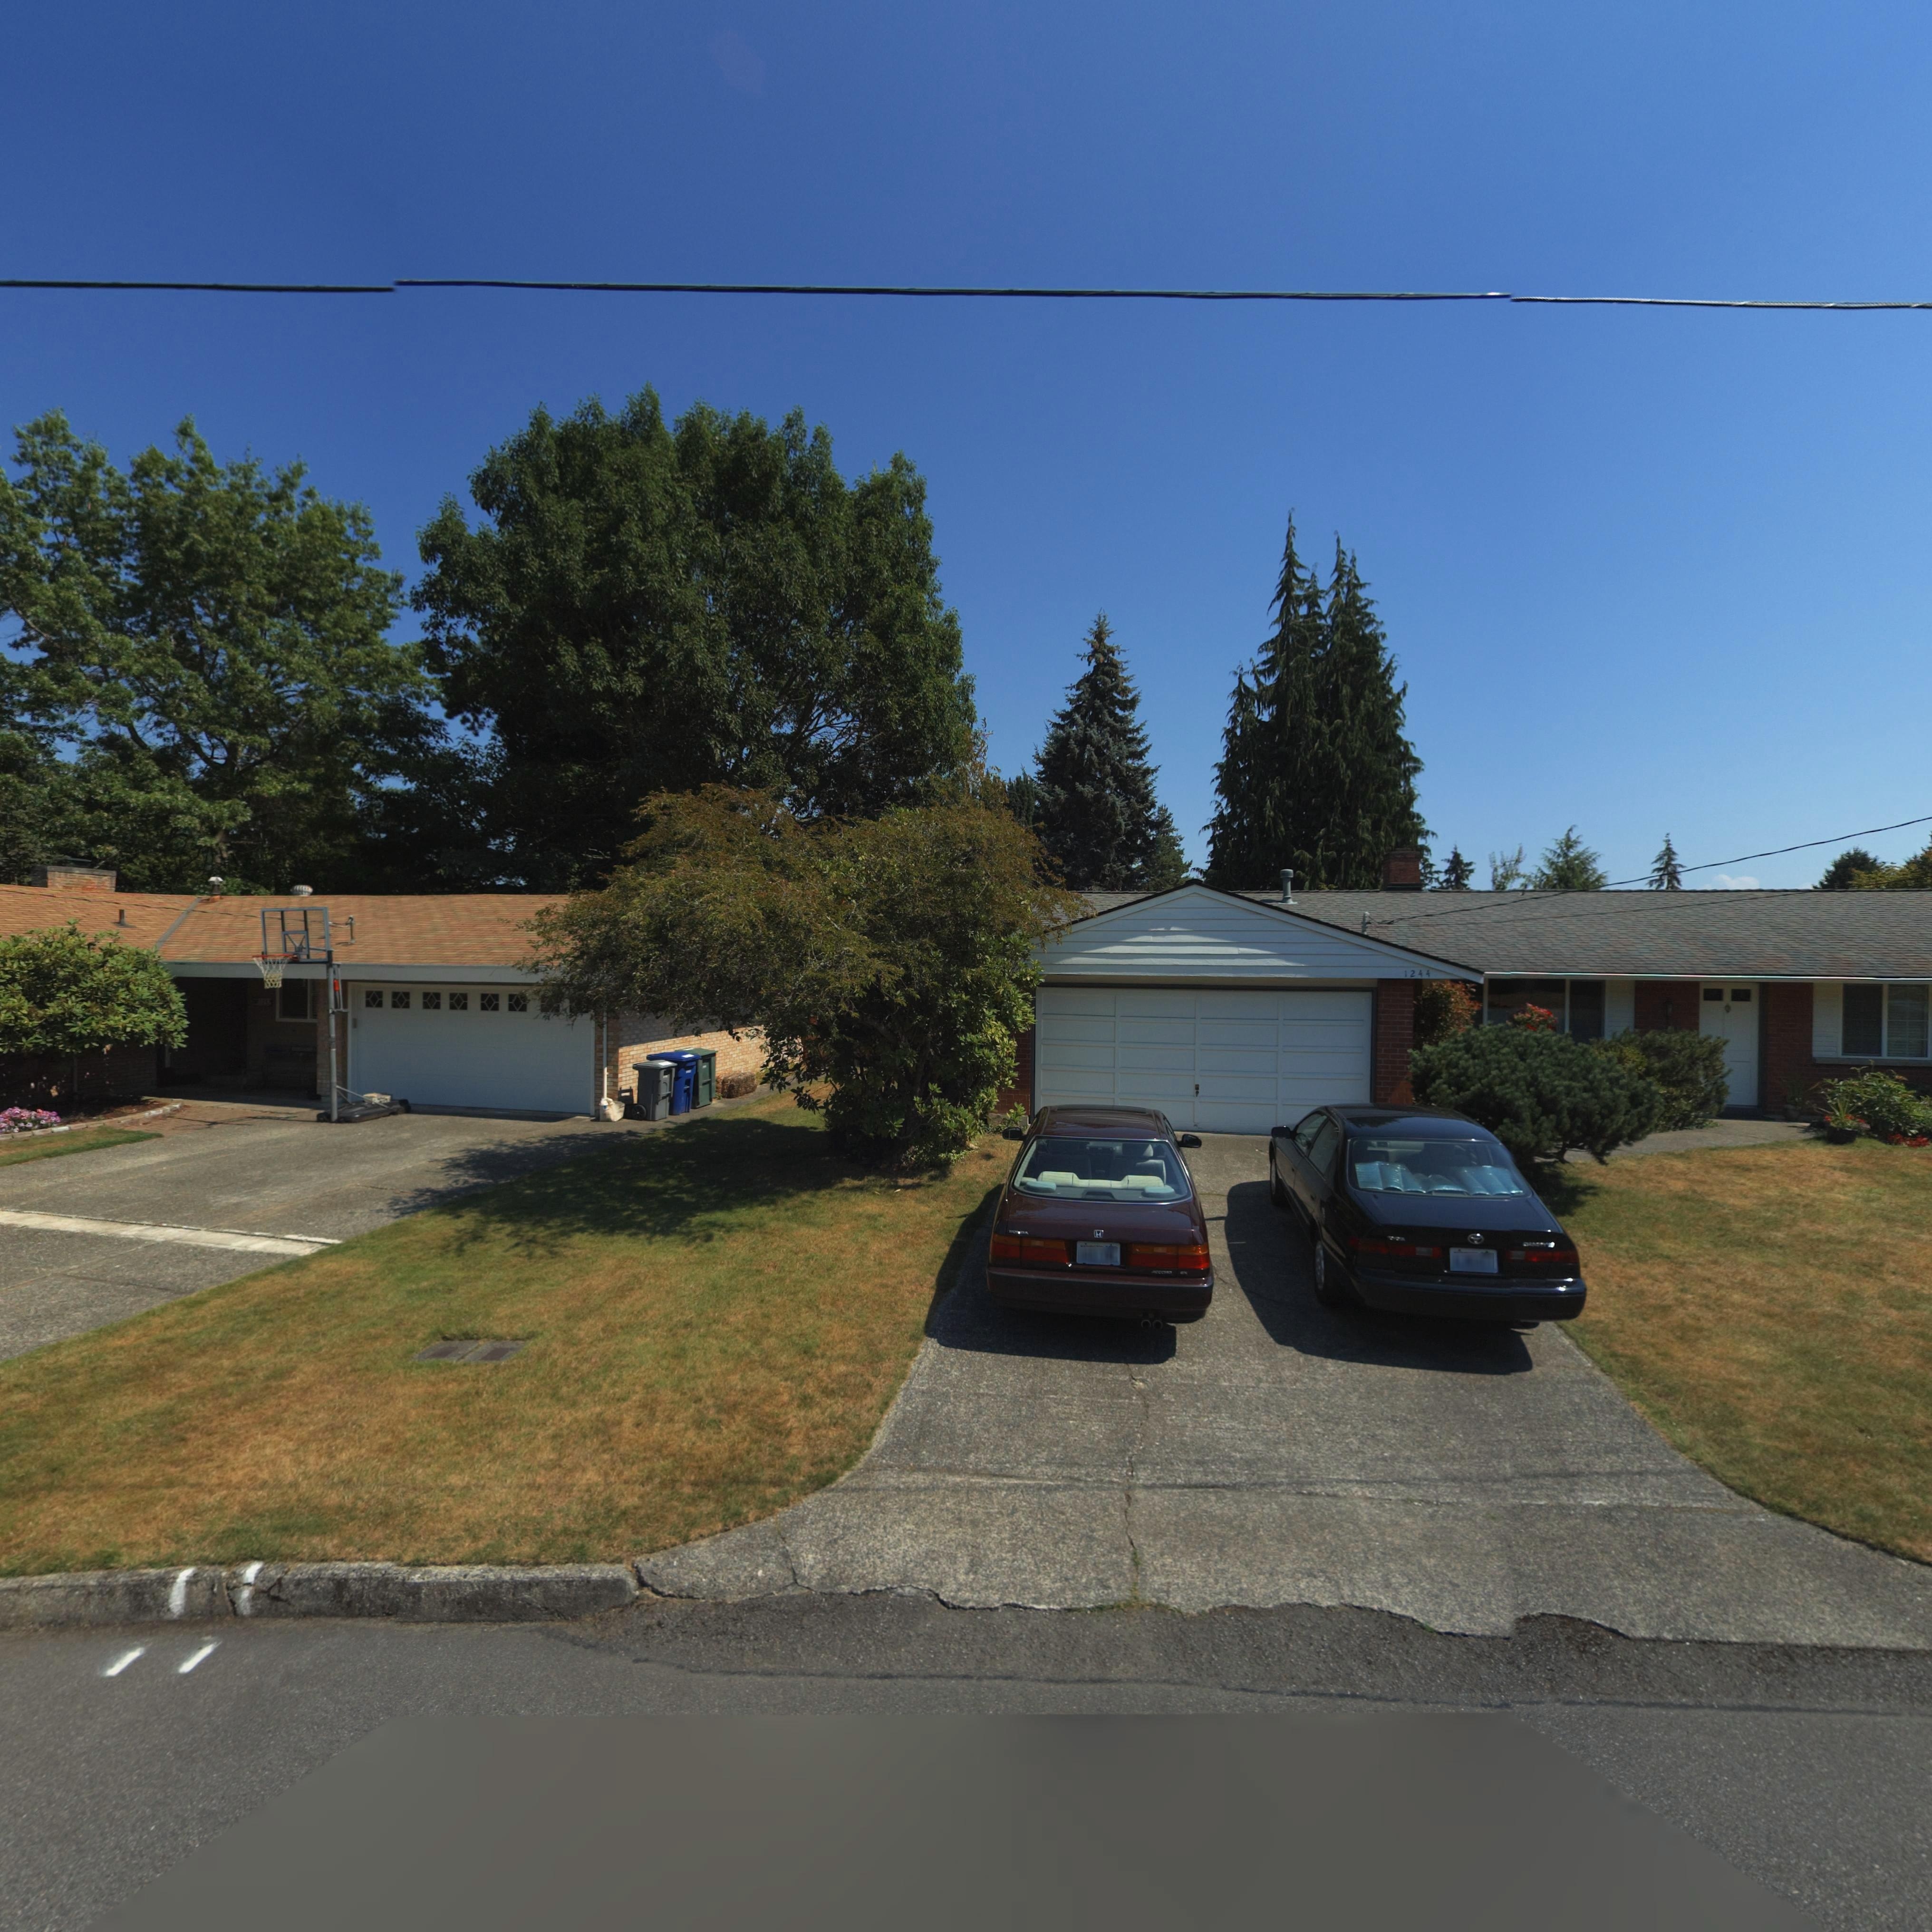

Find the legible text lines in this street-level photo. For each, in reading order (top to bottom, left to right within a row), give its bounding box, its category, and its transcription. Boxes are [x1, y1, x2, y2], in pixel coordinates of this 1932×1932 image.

[1401, 967, 1432, 978] StreetNumber: 1244